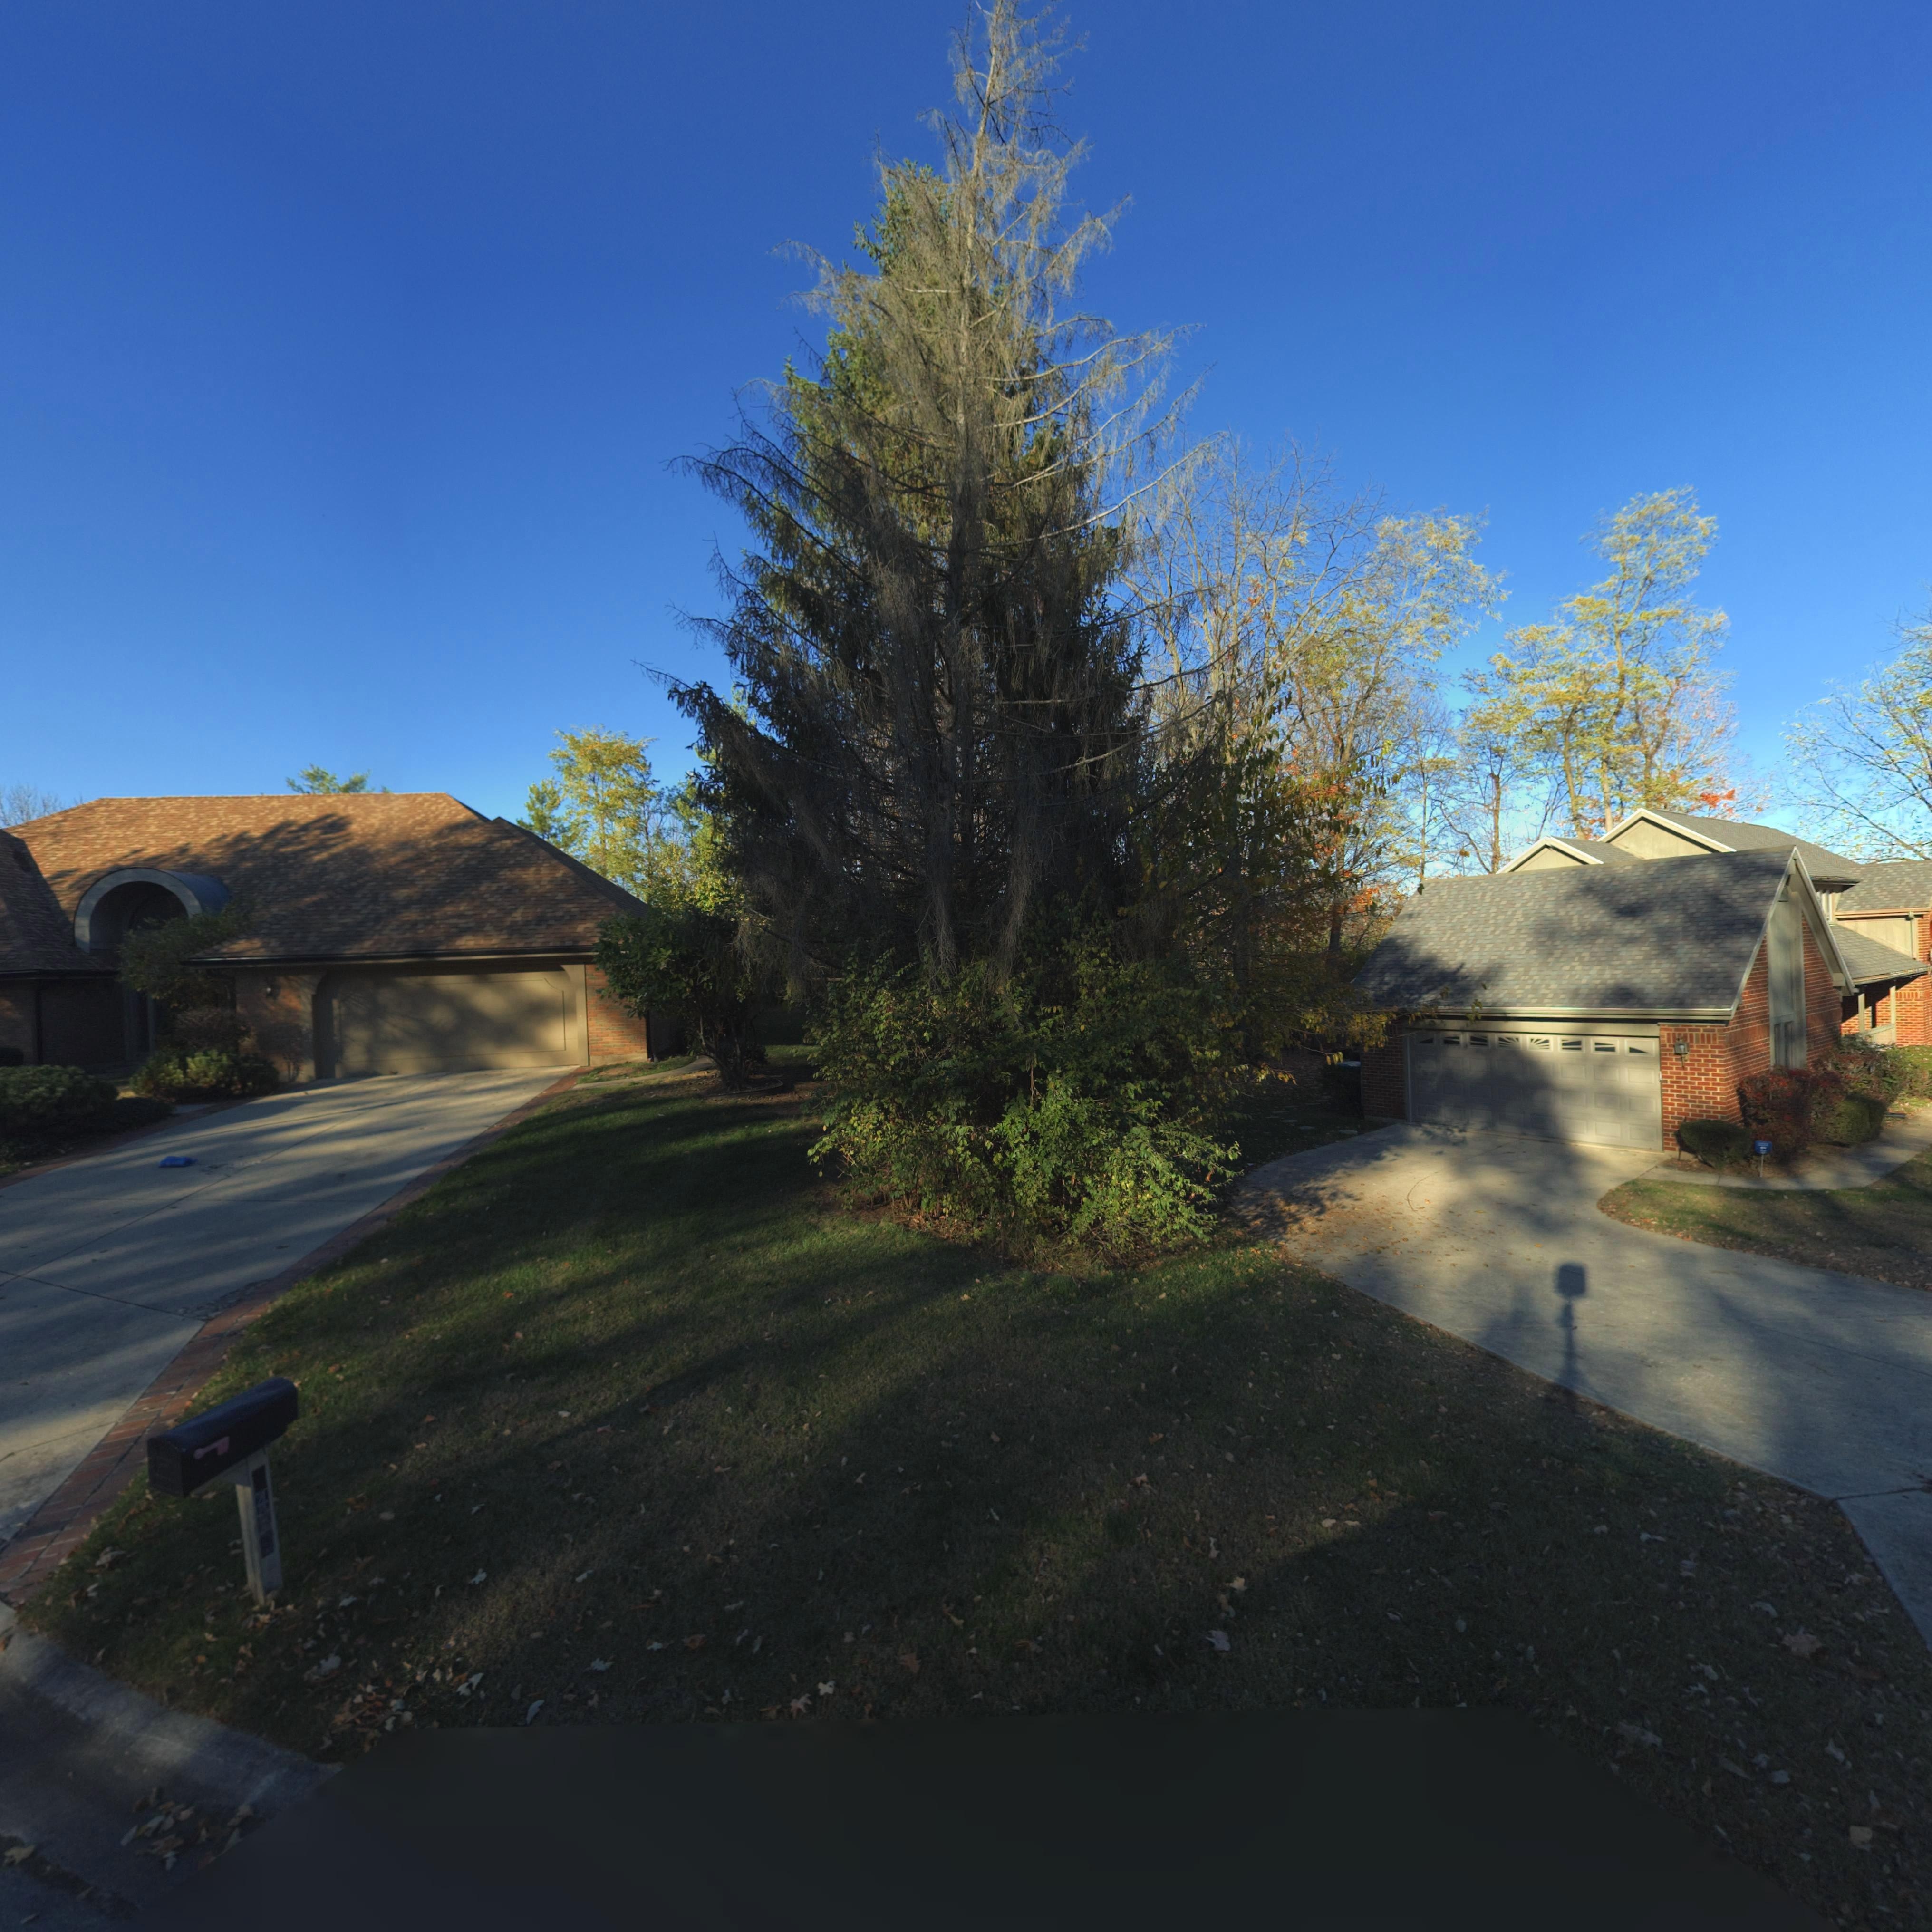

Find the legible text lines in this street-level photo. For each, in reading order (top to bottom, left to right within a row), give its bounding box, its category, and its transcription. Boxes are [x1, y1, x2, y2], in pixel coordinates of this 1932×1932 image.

[255, 1488, 270, 1509] StreetNumber: 4